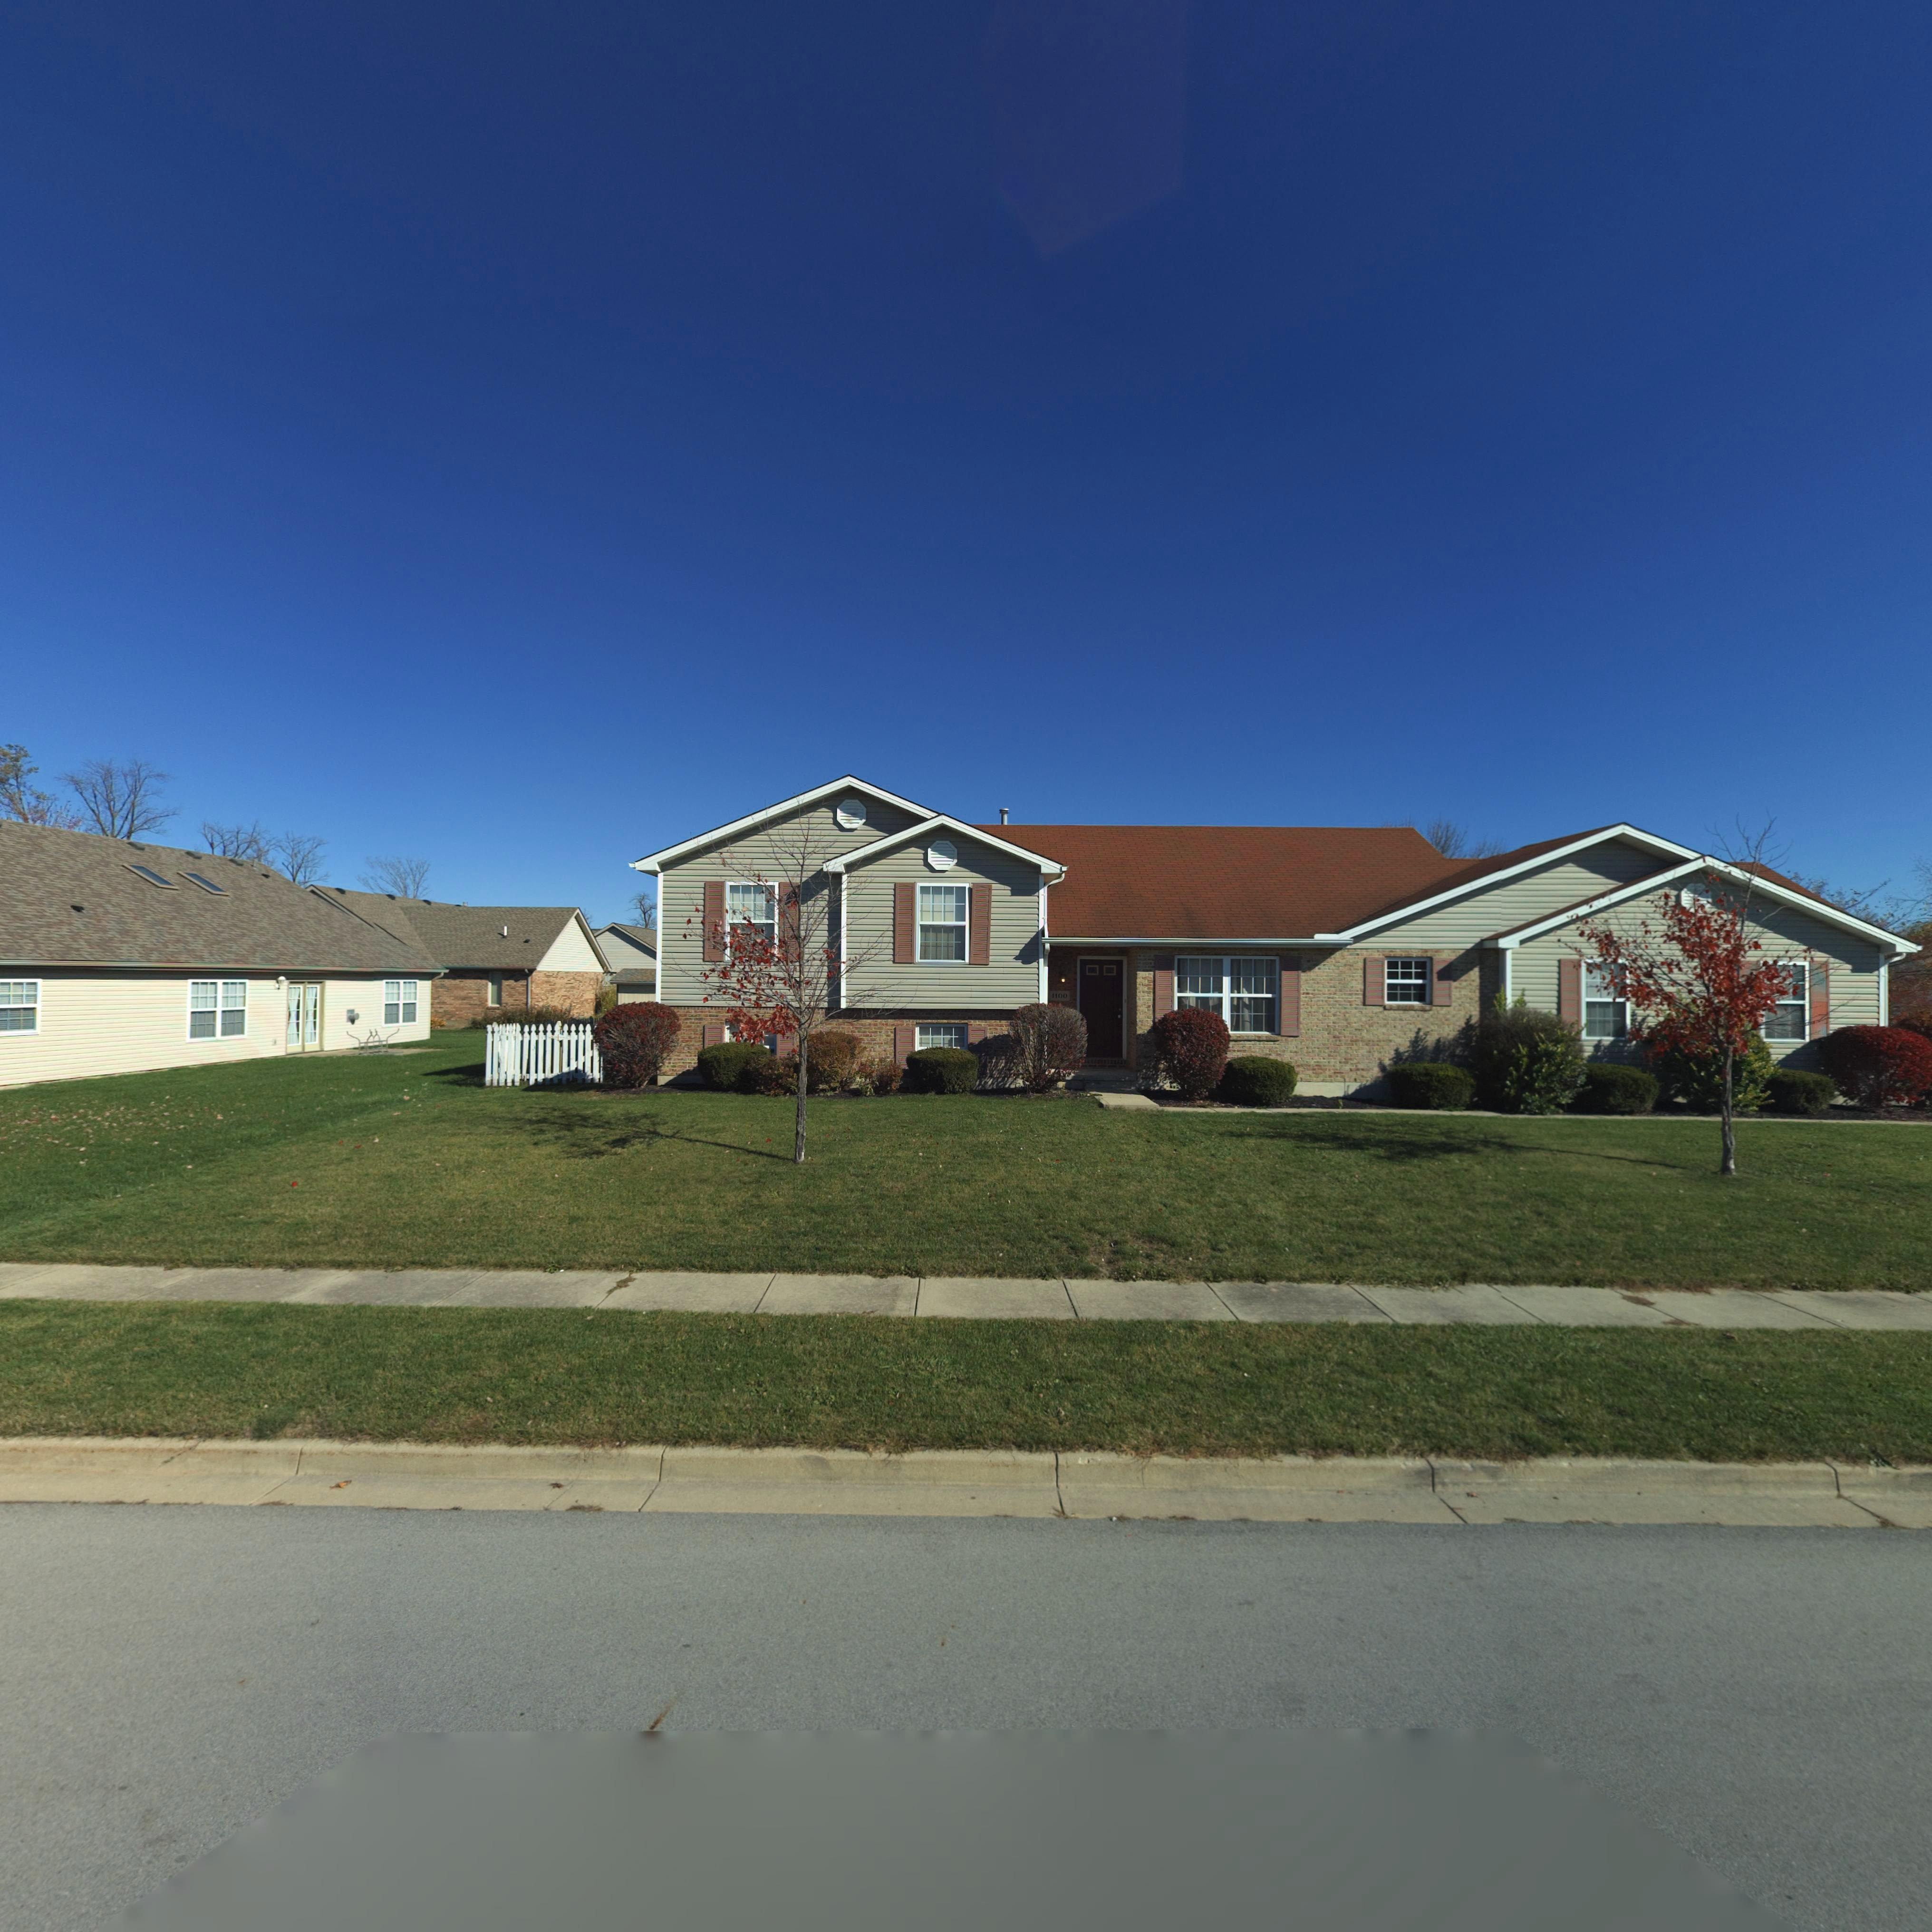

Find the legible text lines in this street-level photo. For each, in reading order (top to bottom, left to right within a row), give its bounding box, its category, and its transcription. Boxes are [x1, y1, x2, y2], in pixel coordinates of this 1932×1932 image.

[1052, 993, 1068, 999] StreetNumber: 1100